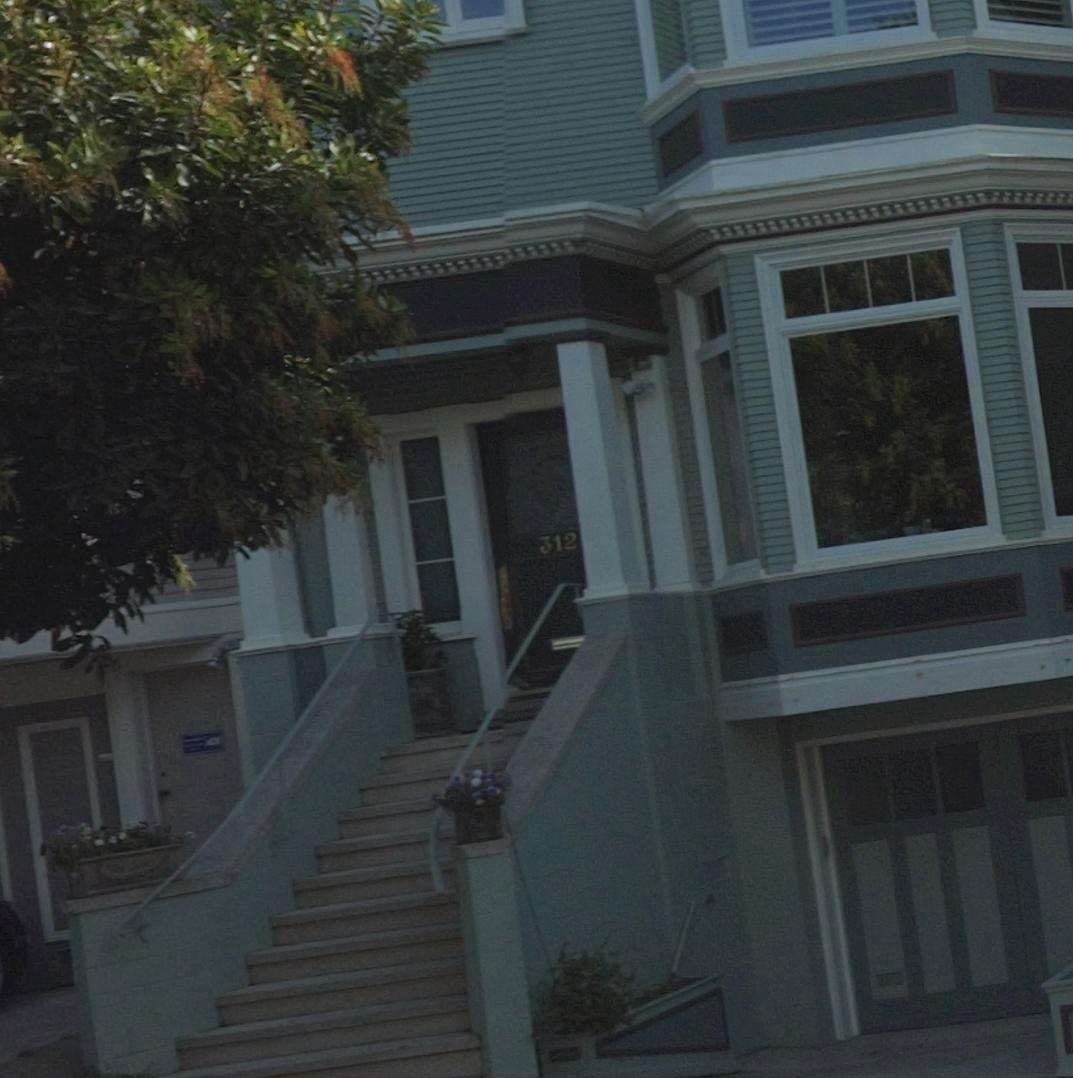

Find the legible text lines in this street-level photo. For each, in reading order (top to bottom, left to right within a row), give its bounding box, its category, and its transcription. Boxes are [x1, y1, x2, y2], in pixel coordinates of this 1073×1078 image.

[535, 528, 581, 557] StreetNumber: 312